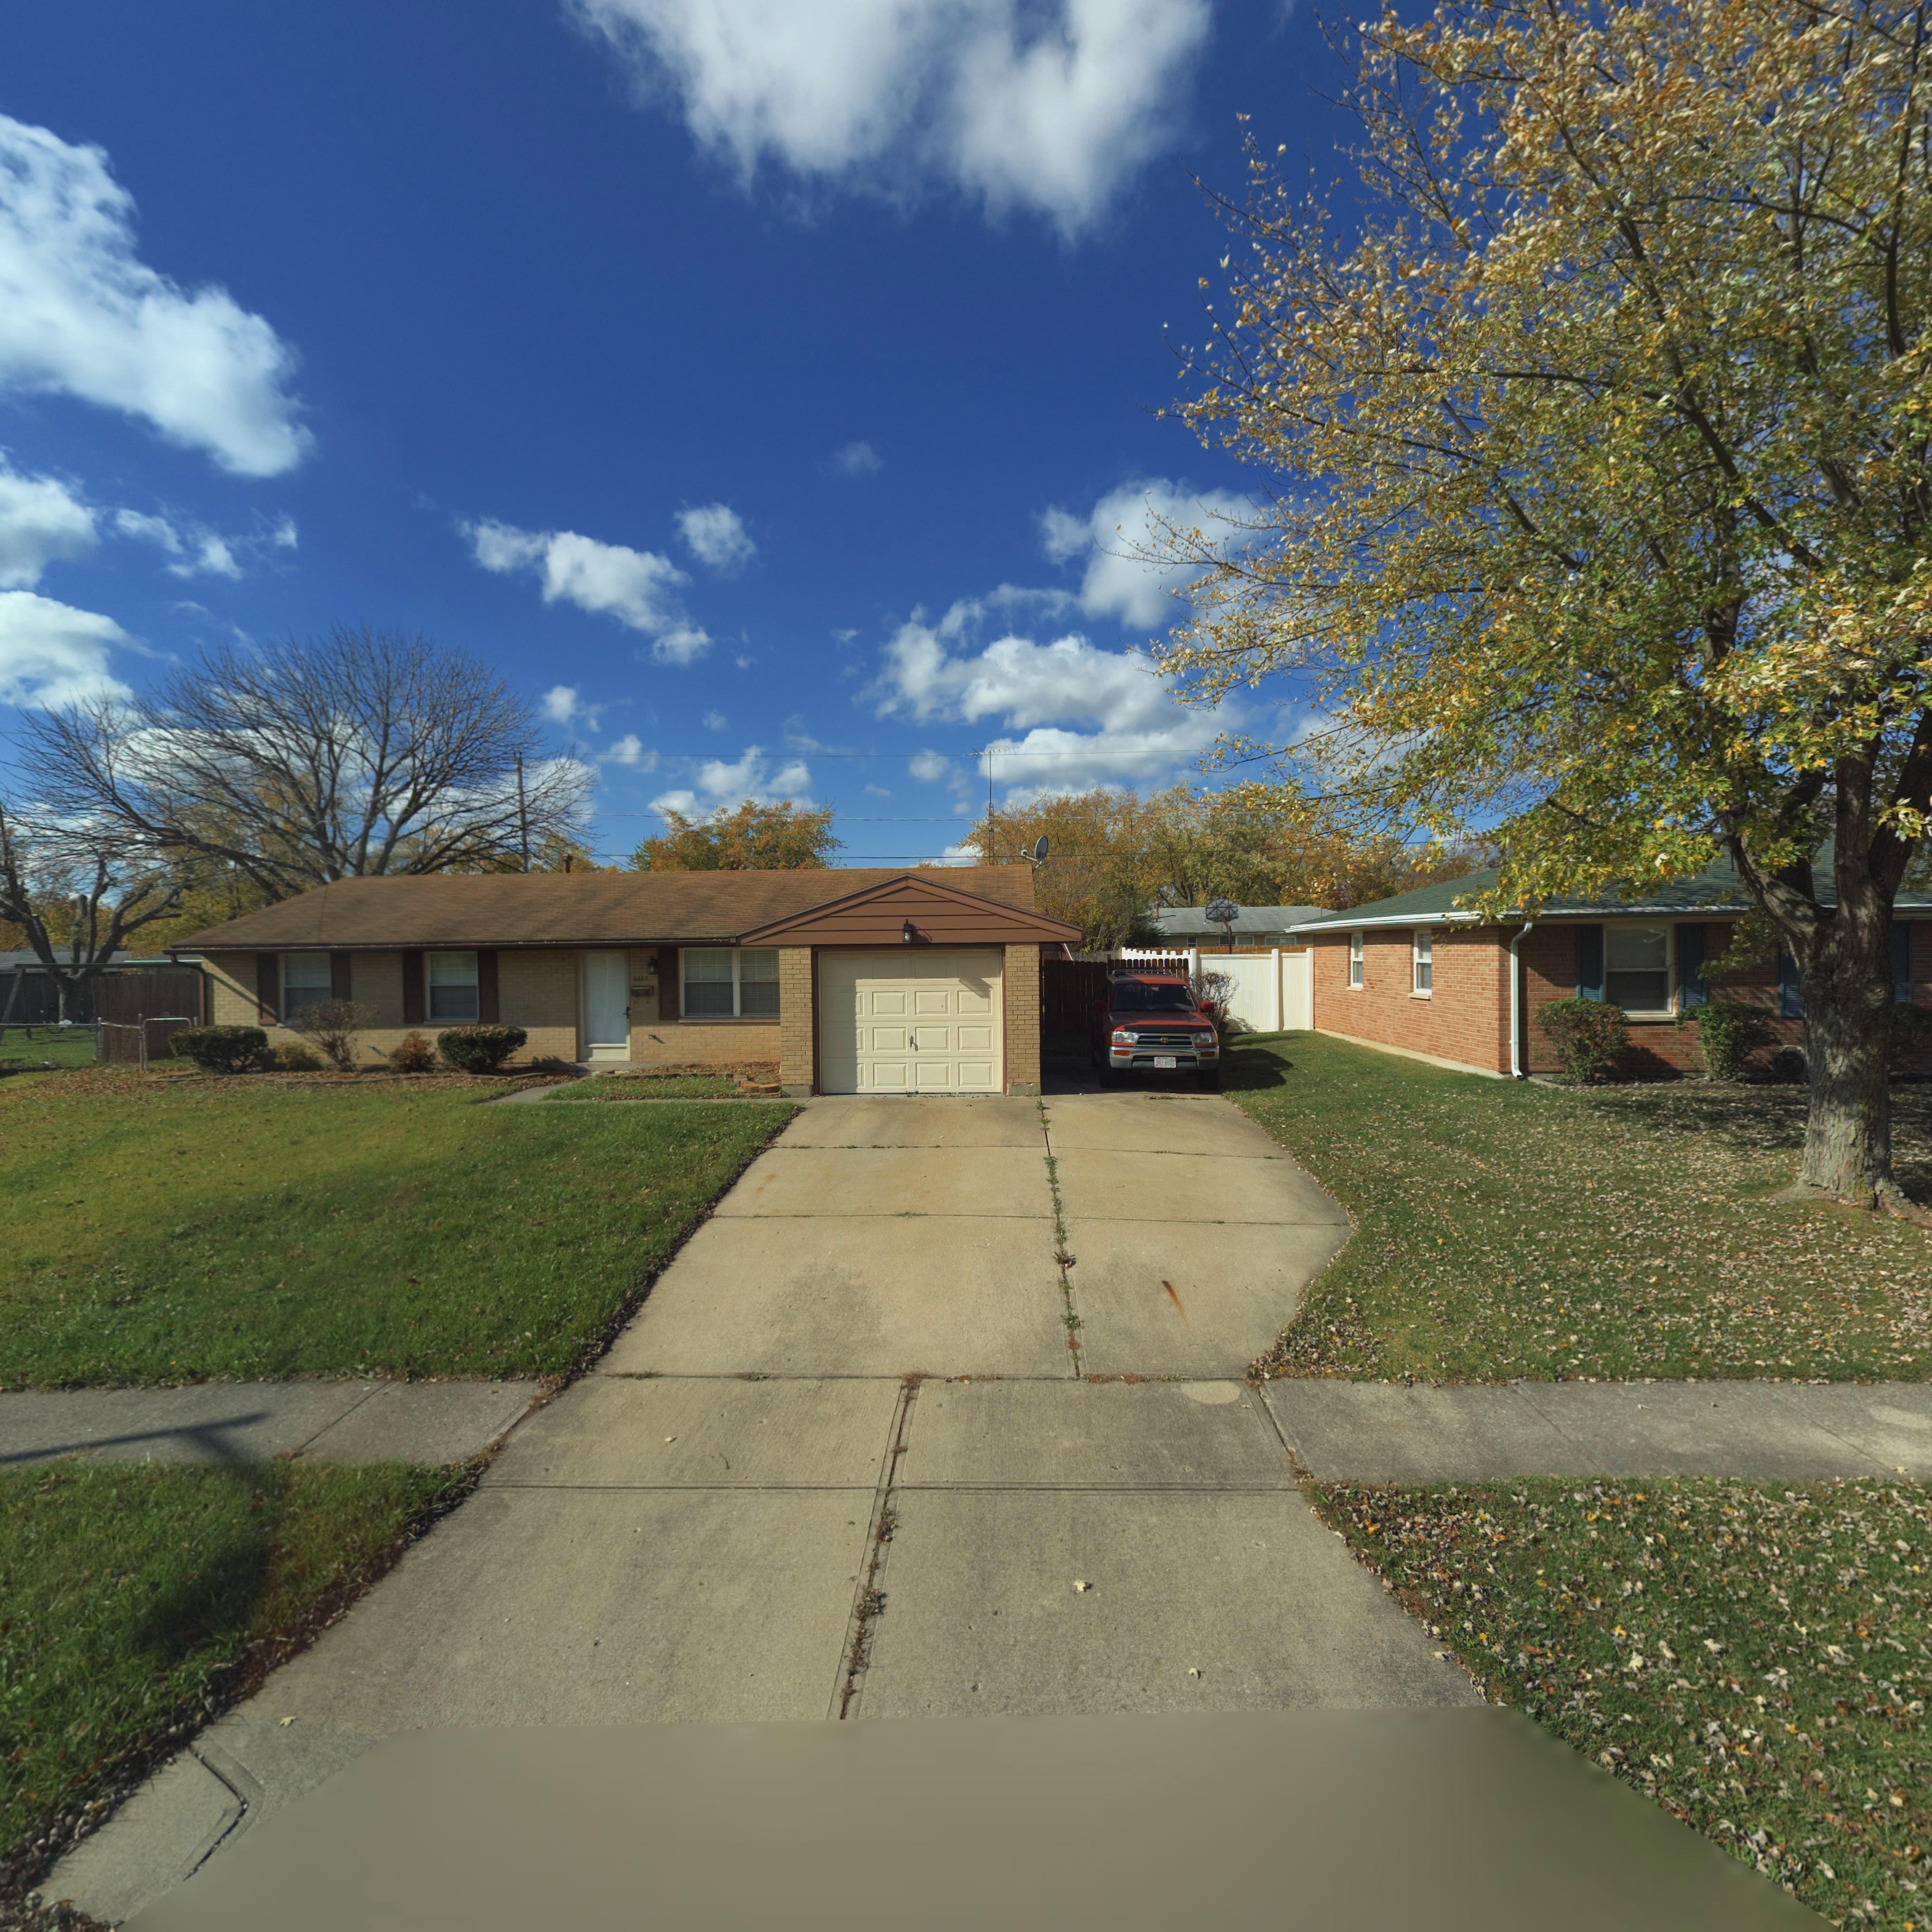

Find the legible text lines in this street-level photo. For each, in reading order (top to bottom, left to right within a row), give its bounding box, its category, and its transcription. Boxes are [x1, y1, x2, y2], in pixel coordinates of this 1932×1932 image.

[633, 975, 648, 981] StreetNumber: 6661